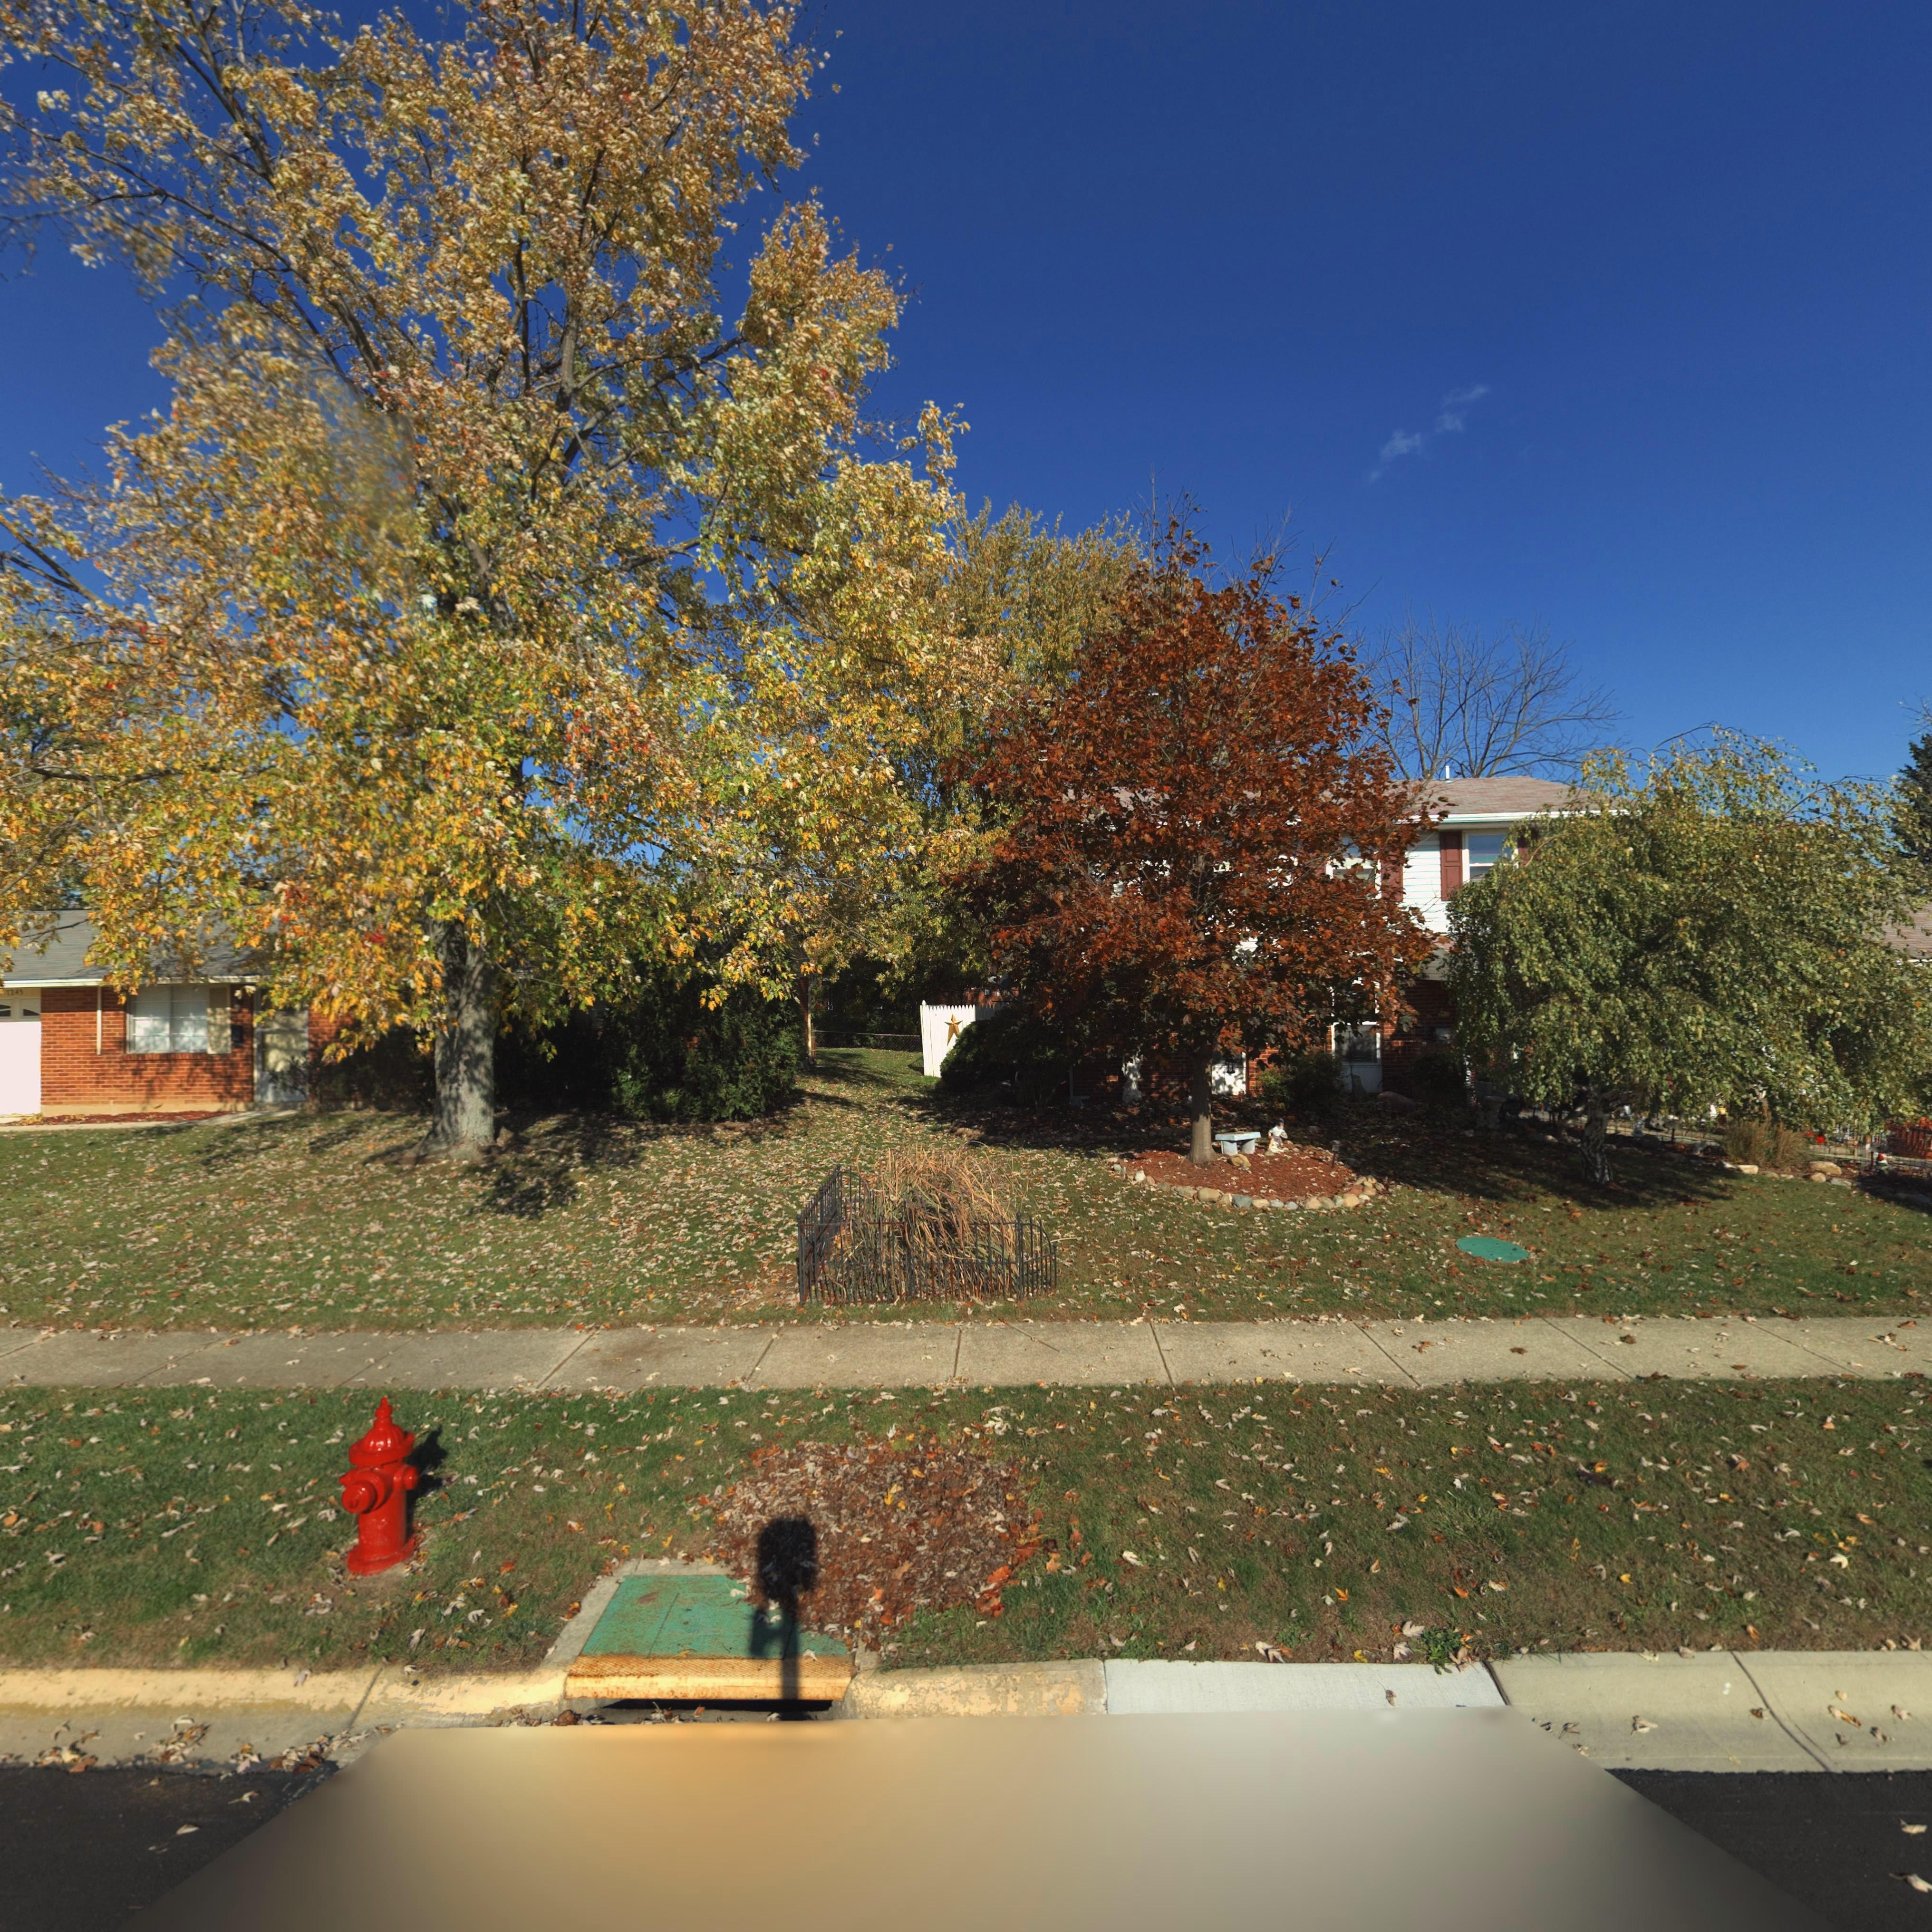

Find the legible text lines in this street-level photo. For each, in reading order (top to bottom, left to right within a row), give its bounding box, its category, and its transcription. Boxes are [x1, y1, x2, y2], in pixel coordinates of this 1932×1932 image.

[4, 988, 26, 997] StreetNumber: 724*